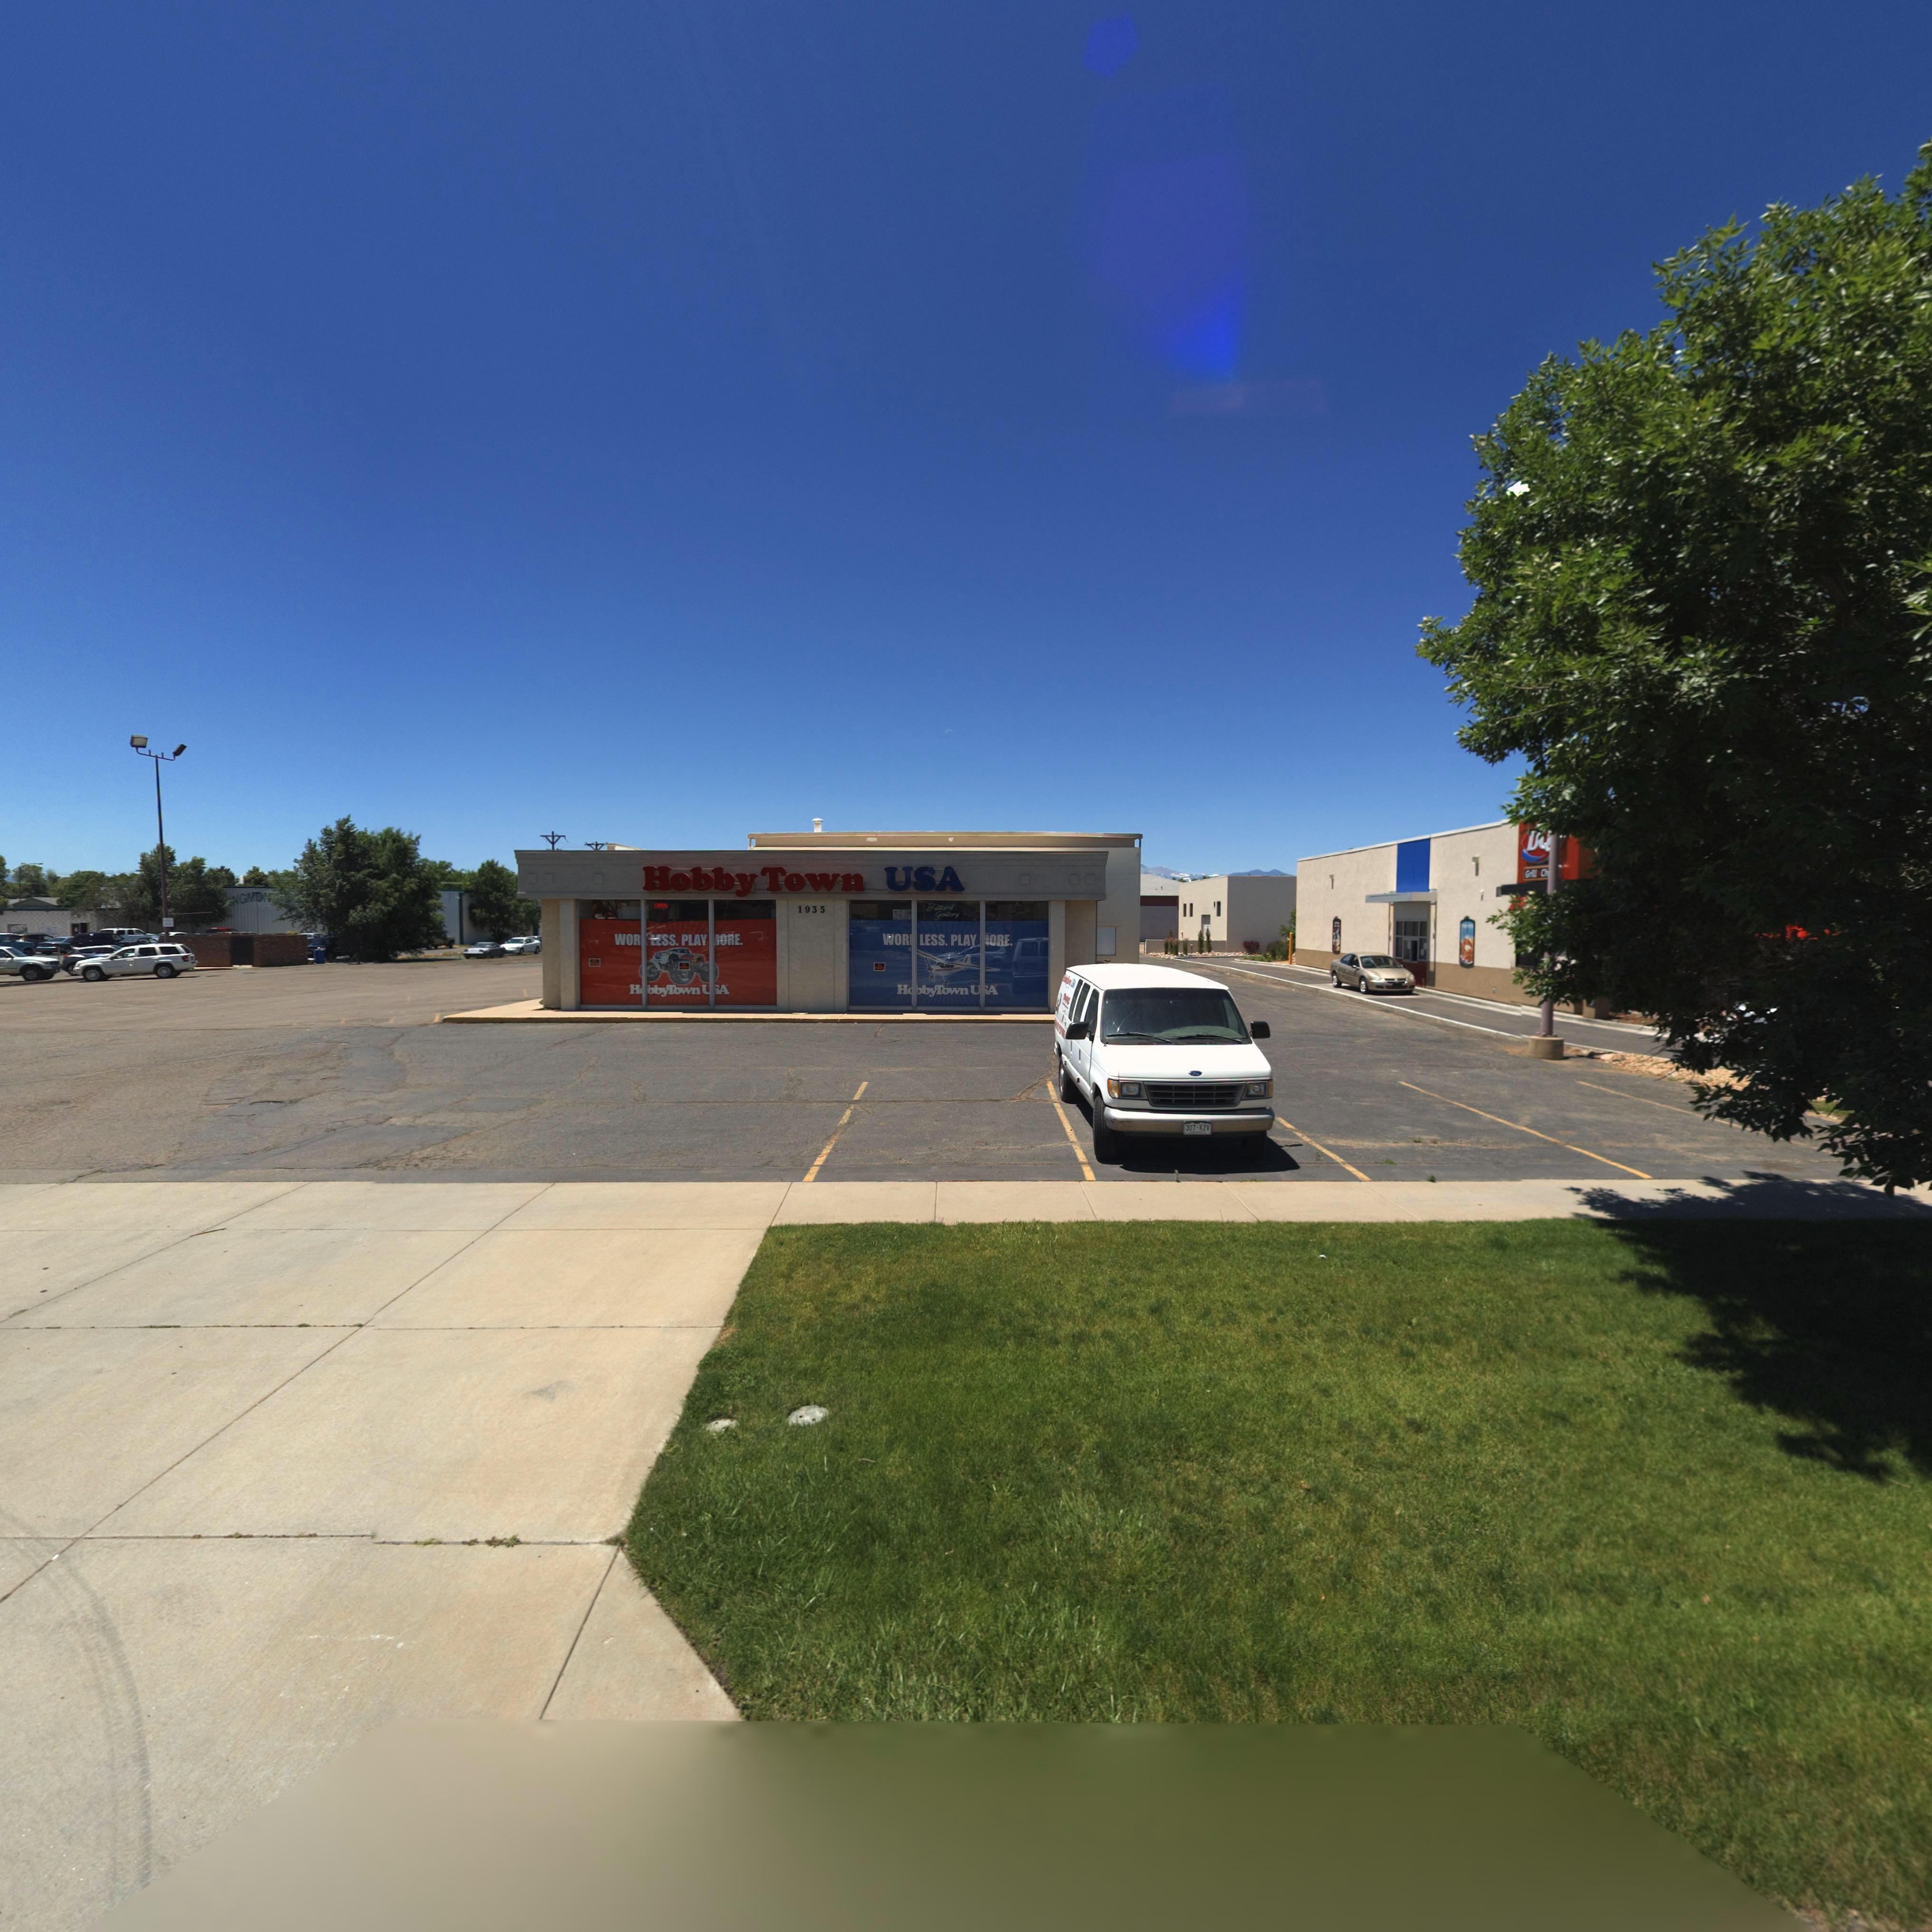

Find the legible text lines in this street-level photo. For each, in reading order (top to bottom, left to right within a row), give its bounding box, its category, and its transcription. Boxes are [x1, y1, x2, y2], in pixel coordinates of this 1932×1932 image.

[1526, 828, 1553, 852] BusinessName: D*
[638, 863, 972, 898] BusinessName: H**by Town U*A
[1524, 869, 1547, 879] BusinessName: Grill&C
[797, 905, 825, 914] StreetNumber: 1935
[628, 983, 731, 998] None: H*bbyTownU*A
[895, 983, 1001, 998] BusinessName: H**byTownU*A